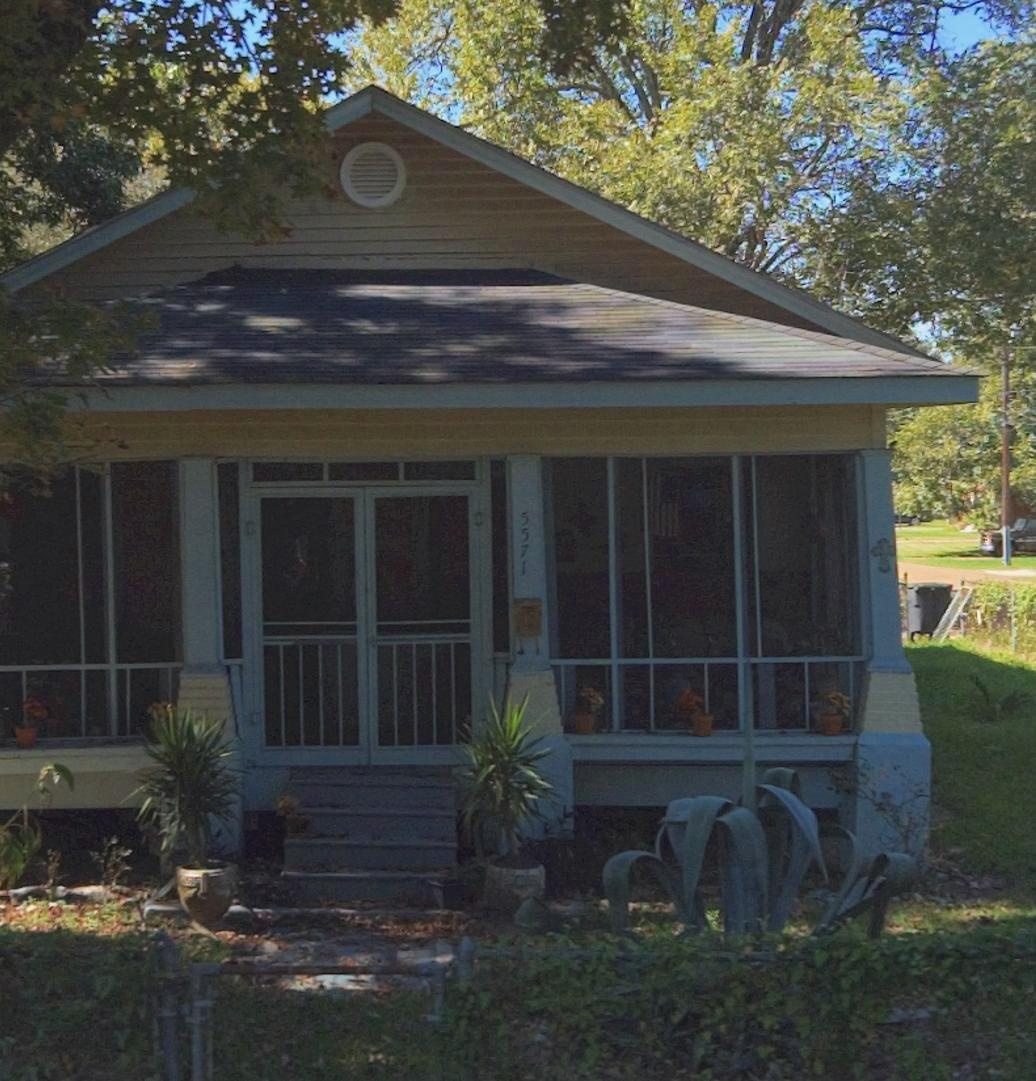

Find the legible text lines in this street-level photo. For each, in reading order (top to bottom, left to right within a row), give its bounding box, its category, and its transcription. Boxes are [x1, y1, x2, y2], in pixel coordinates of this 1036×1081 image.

[517, 508, 531, 577] StreetNumber: 5571